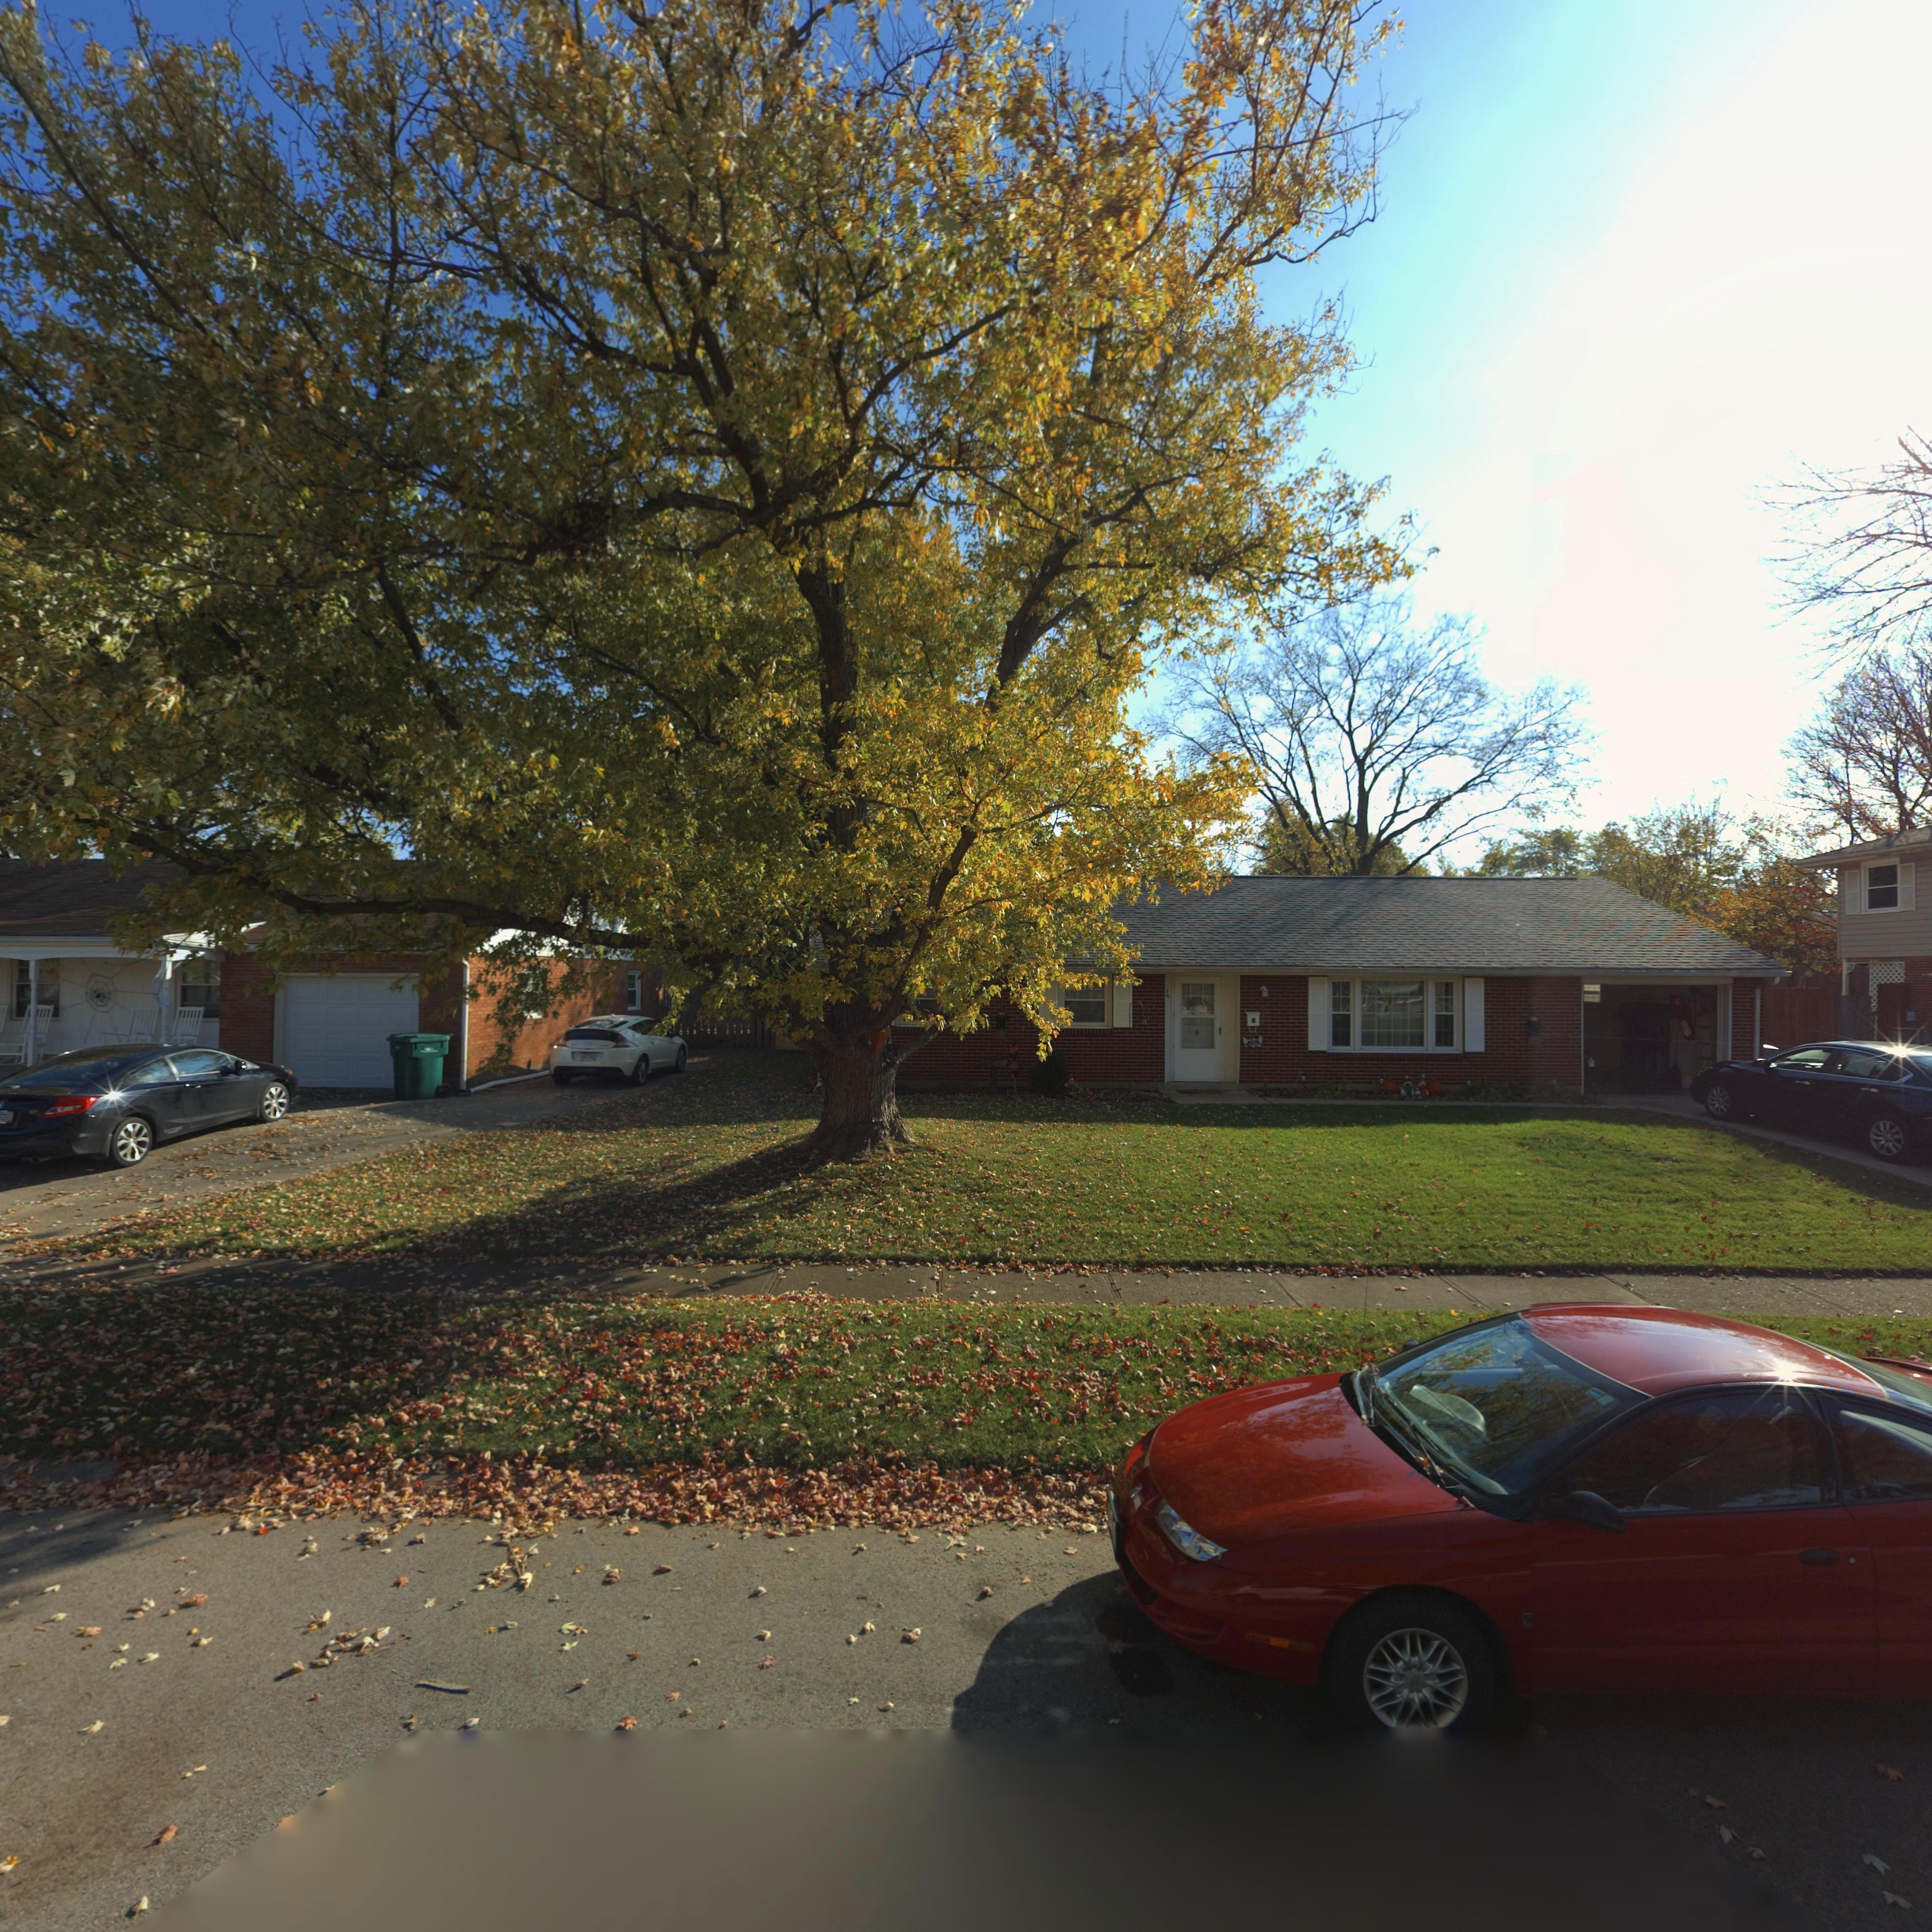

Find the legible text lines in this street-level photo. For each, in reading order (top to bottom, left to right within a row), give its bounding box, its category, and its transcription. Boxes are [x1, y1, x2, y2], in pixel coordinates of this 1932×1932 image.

[1165, 988, 1170, 999] StreetNumber: 34